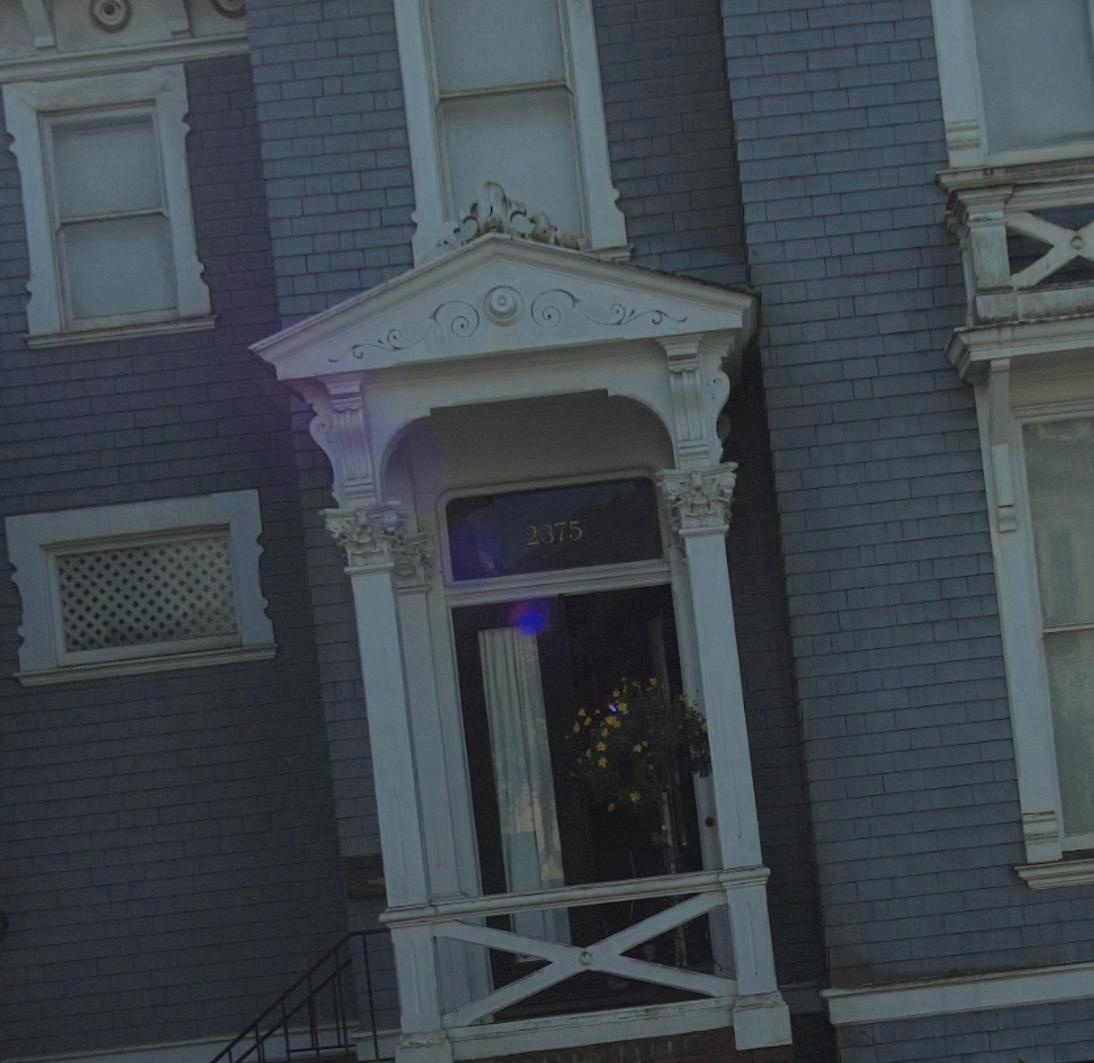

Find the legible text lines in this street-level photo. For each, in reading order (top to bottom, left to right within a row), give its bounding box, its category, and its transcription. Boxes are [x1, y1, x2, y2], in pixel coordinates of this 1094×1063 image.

[523, 515, 586, 550] StreetNumber: 2375